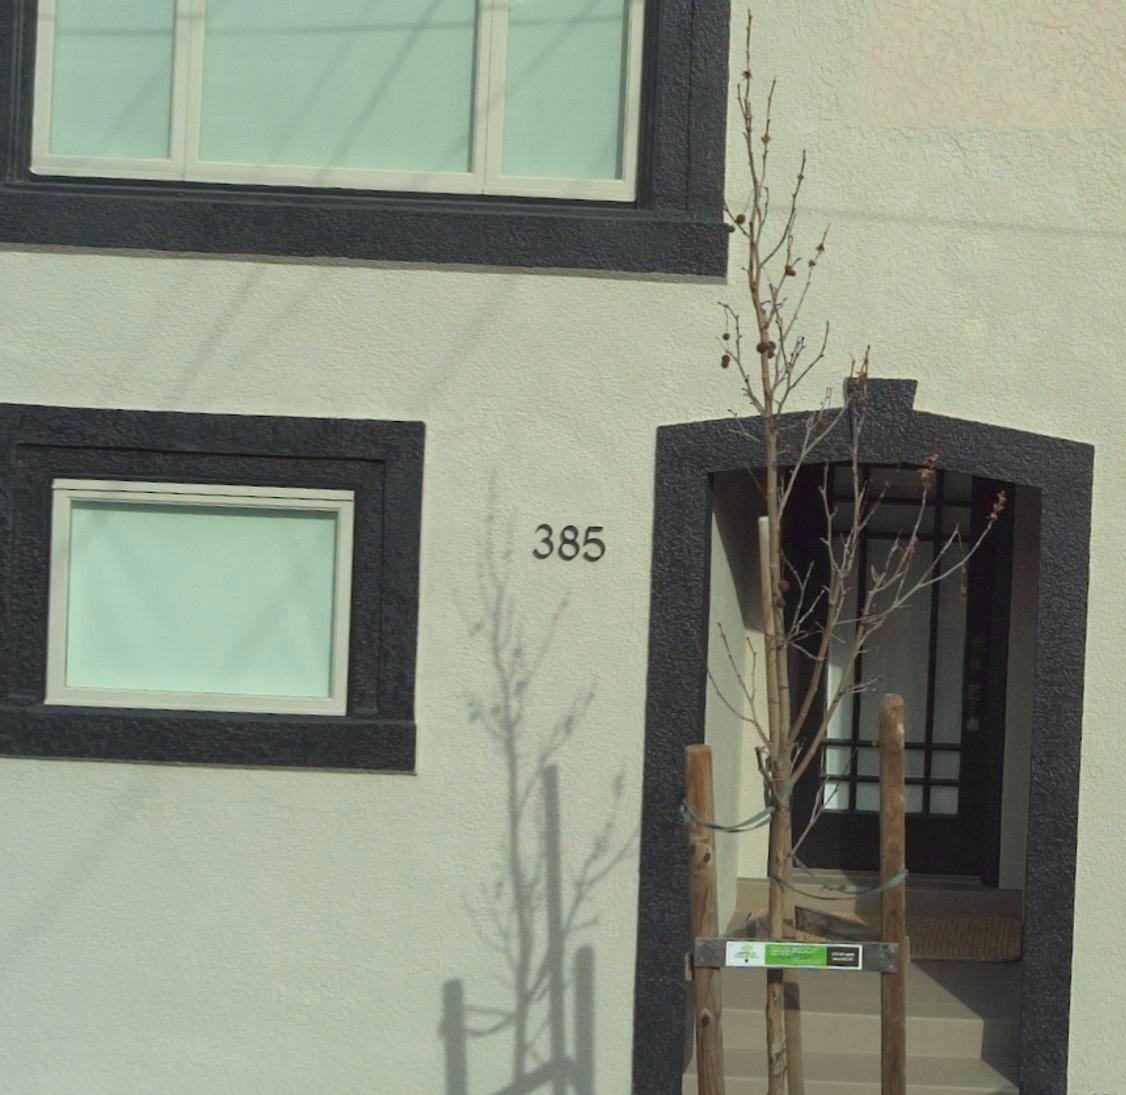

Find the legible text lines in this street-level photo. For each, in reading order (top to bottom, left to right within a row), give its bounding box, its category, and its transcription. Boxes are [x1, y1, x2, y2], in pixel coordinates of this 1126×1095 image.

[532, 522, 607, 562] StreetNumber: 385